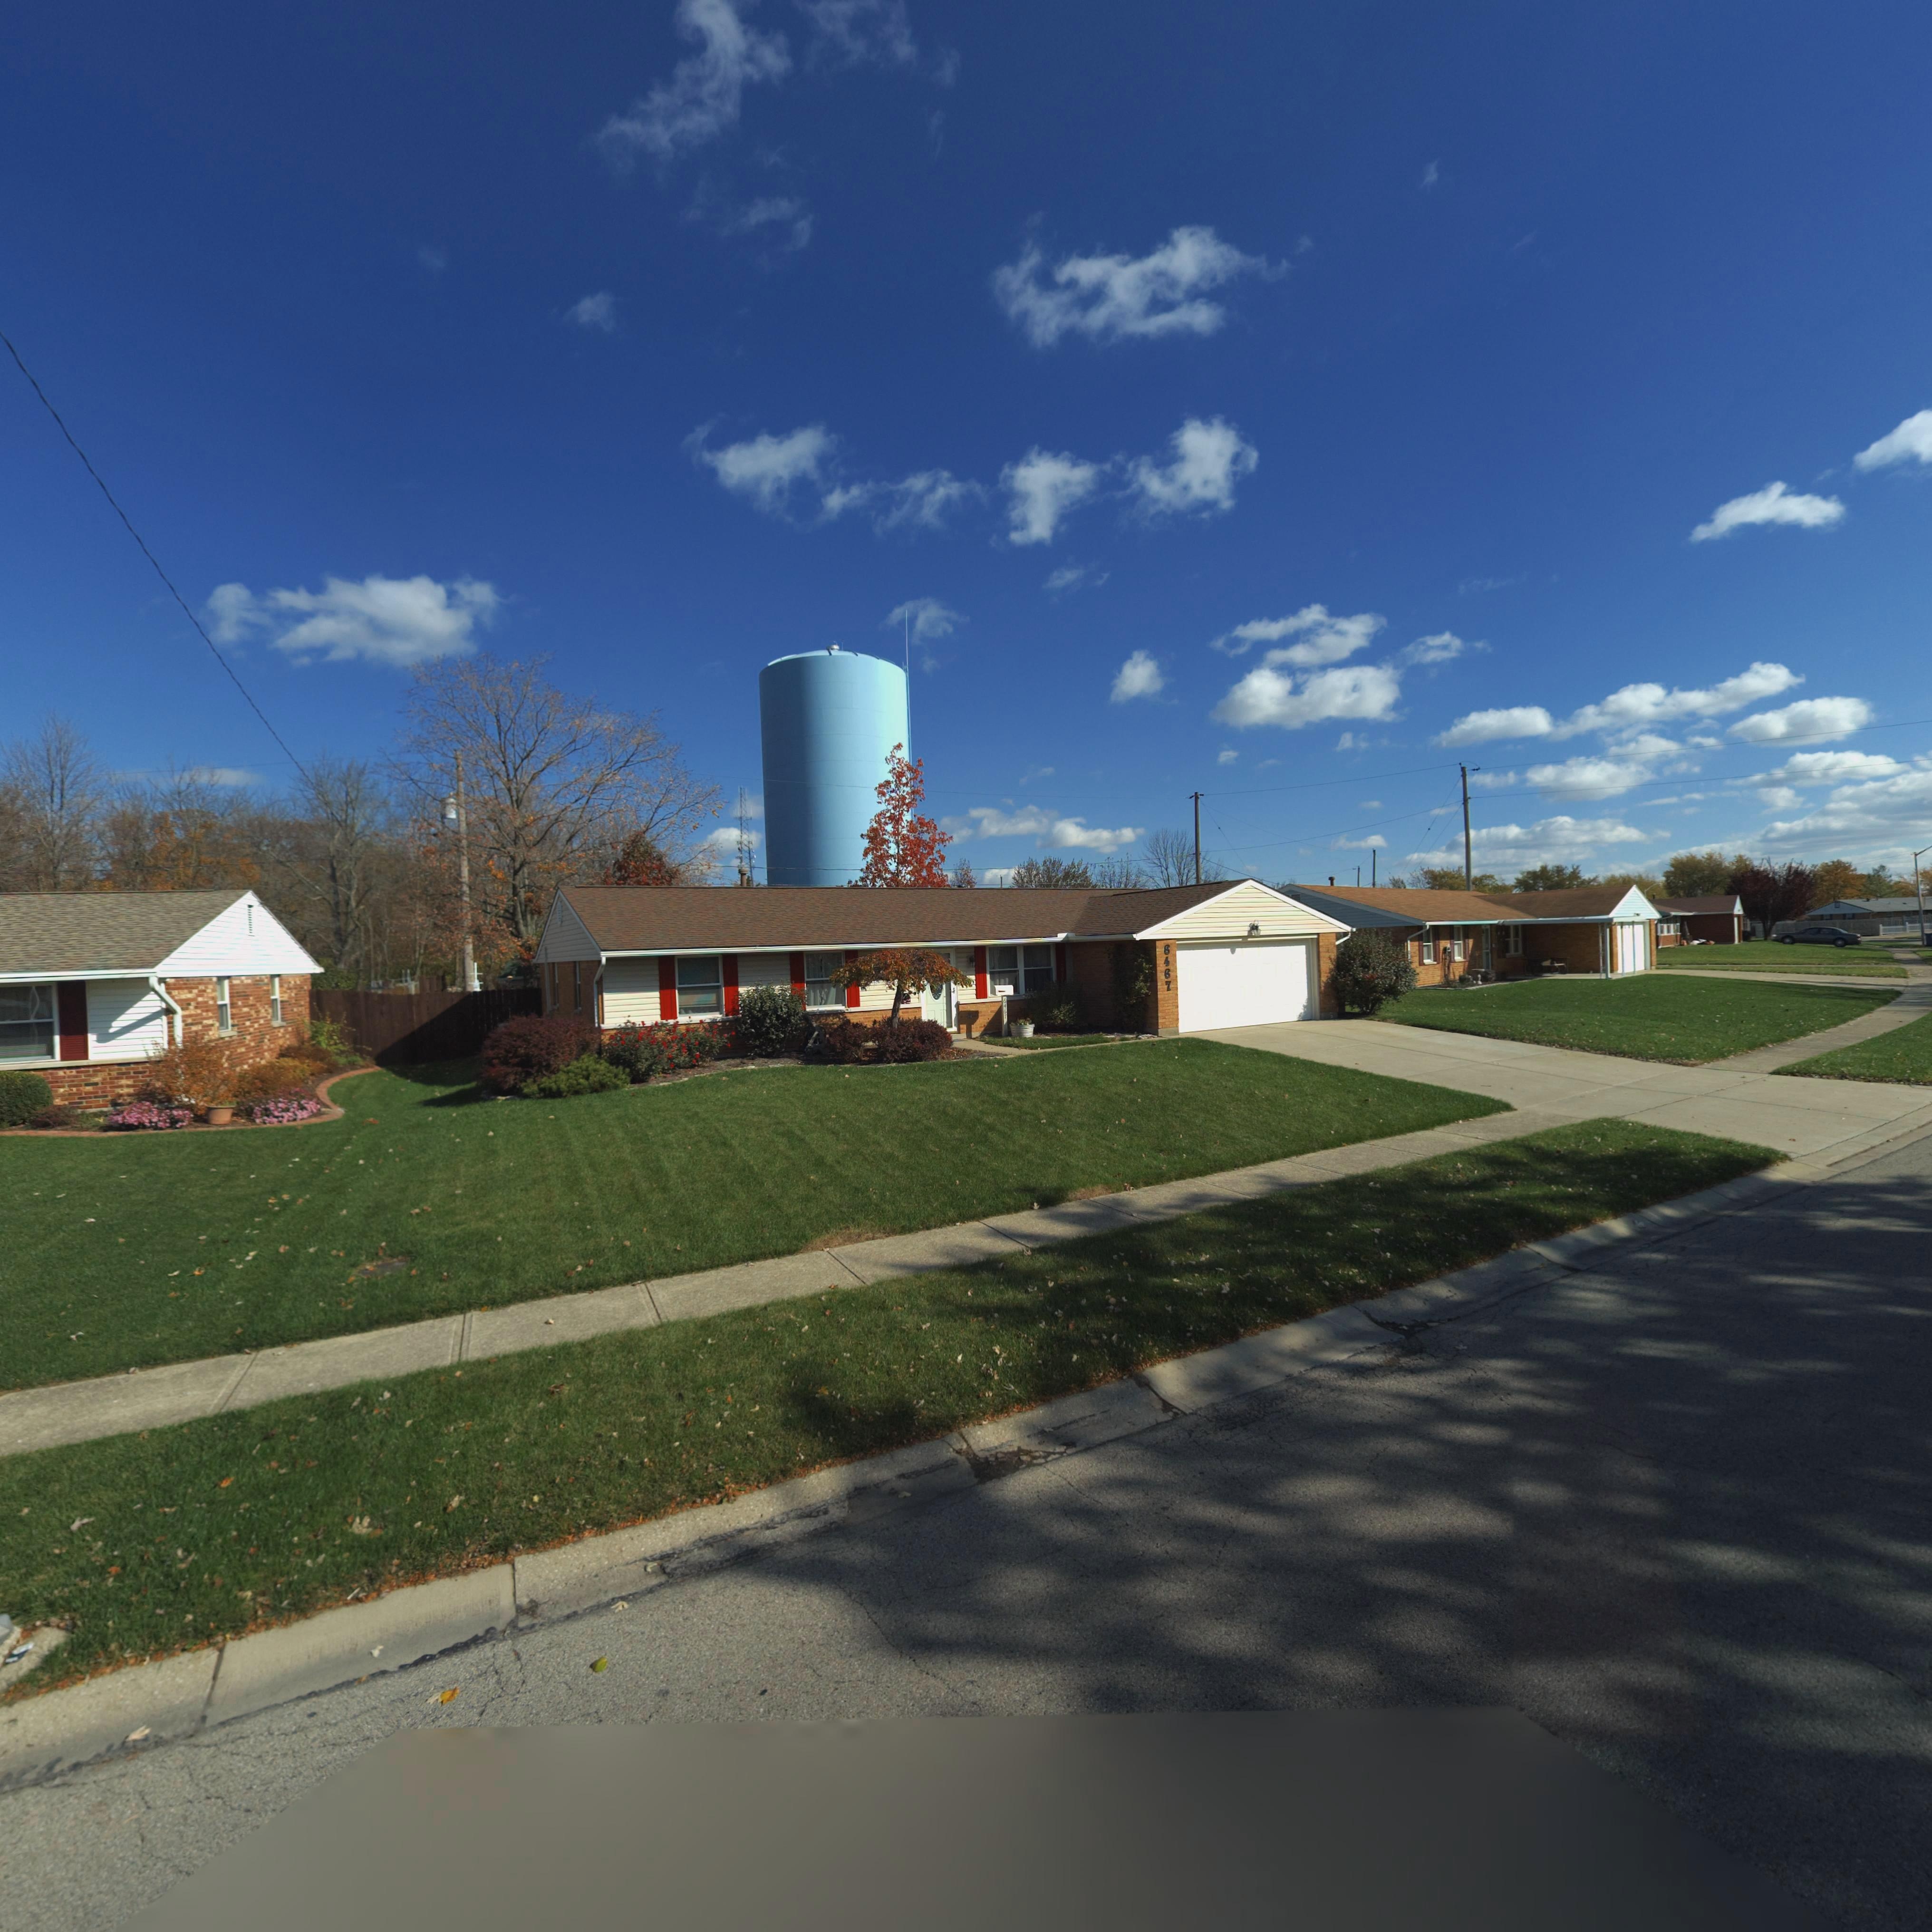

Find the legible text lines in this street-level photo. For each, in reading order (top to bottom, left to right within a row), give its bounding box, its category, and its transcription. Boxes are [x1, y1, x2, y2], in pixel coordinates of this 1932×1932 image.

[1164, 944, 1172, 992] StreetNumber: 6467